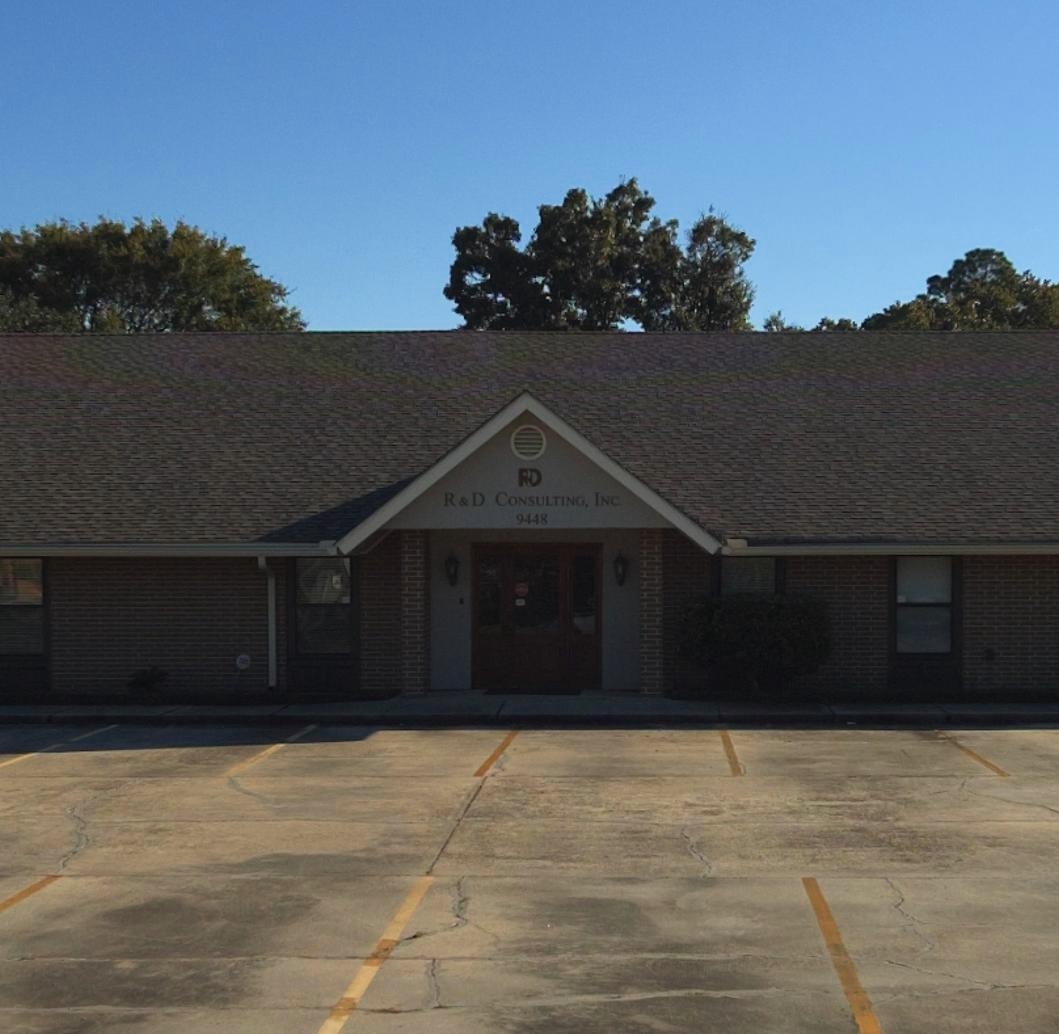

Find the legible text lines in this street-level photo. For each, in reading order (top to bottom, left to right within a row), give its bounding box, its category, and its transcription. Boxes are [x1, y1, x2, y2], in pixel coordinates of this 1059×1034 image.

[442, 490, 623, 509] BusinessName: R & D CONSULTING, INC.
[515, 512, 549, 527] StreetNumber: 9448